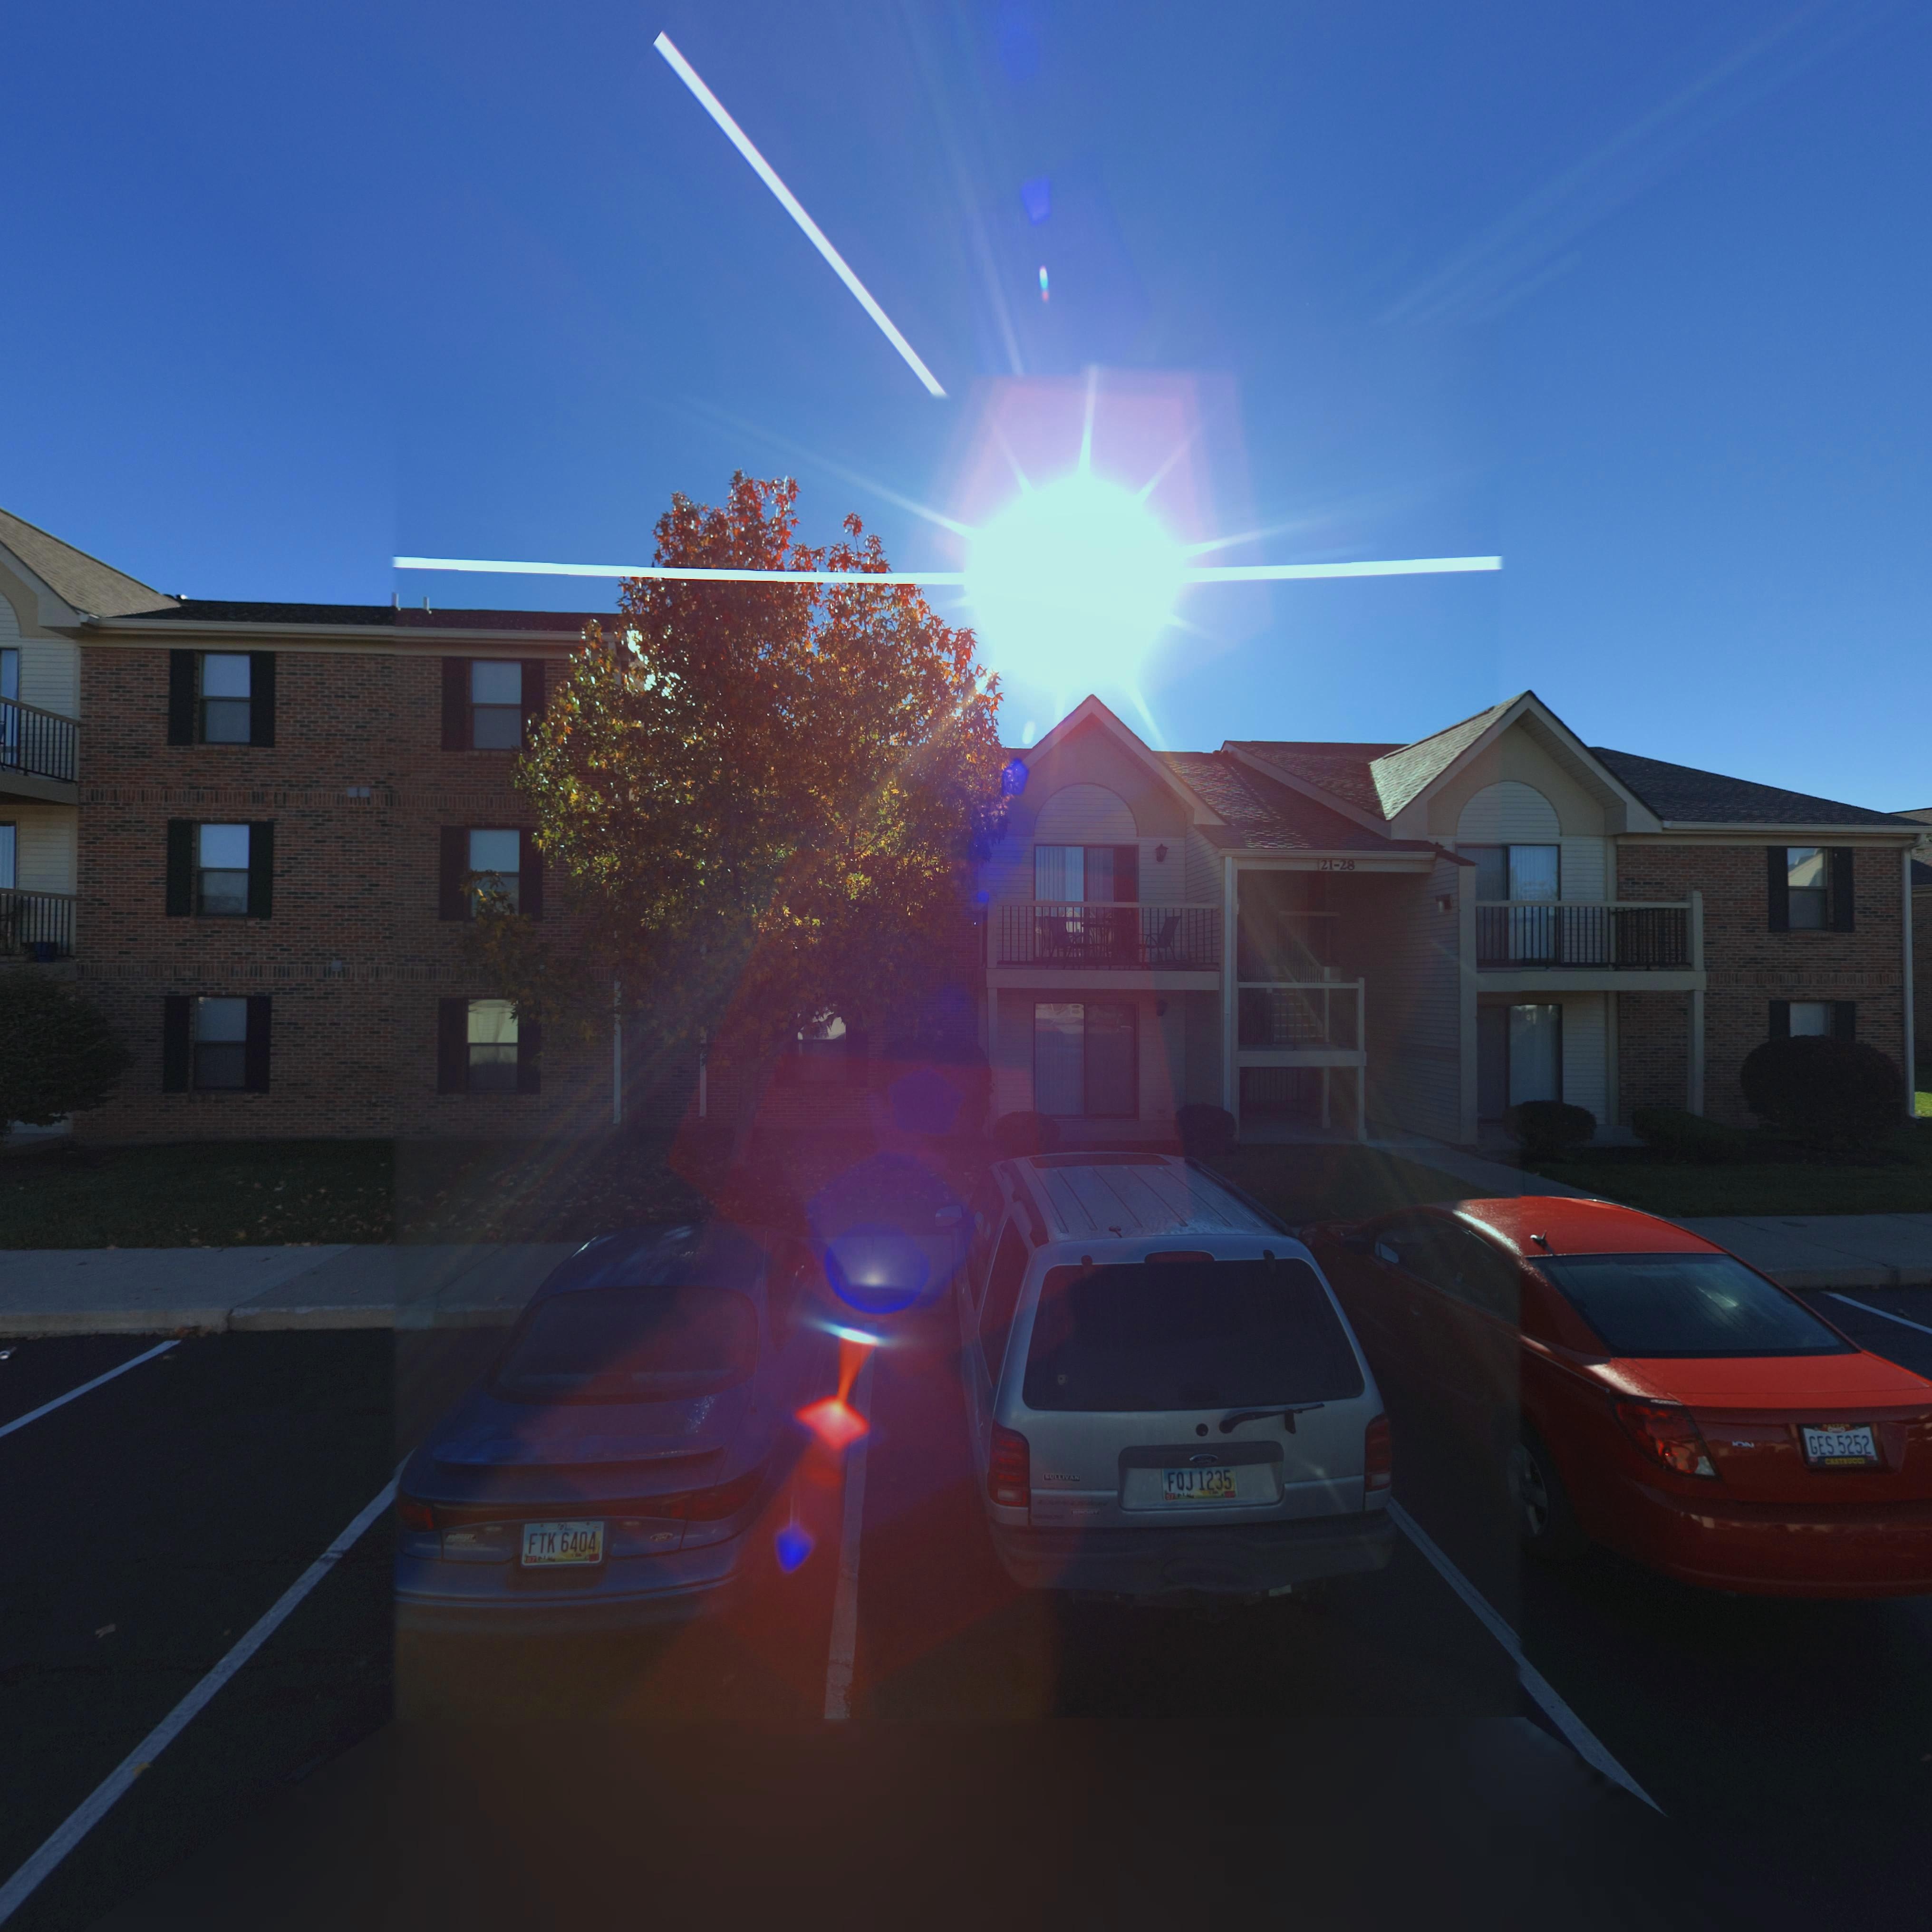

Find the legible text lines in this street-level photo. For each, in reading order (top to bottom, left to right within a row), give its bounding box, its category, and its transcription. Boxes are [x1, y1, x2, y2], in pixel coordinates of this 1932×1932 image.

[1319, 858, 1355, 870] StreetNumber: 21-28